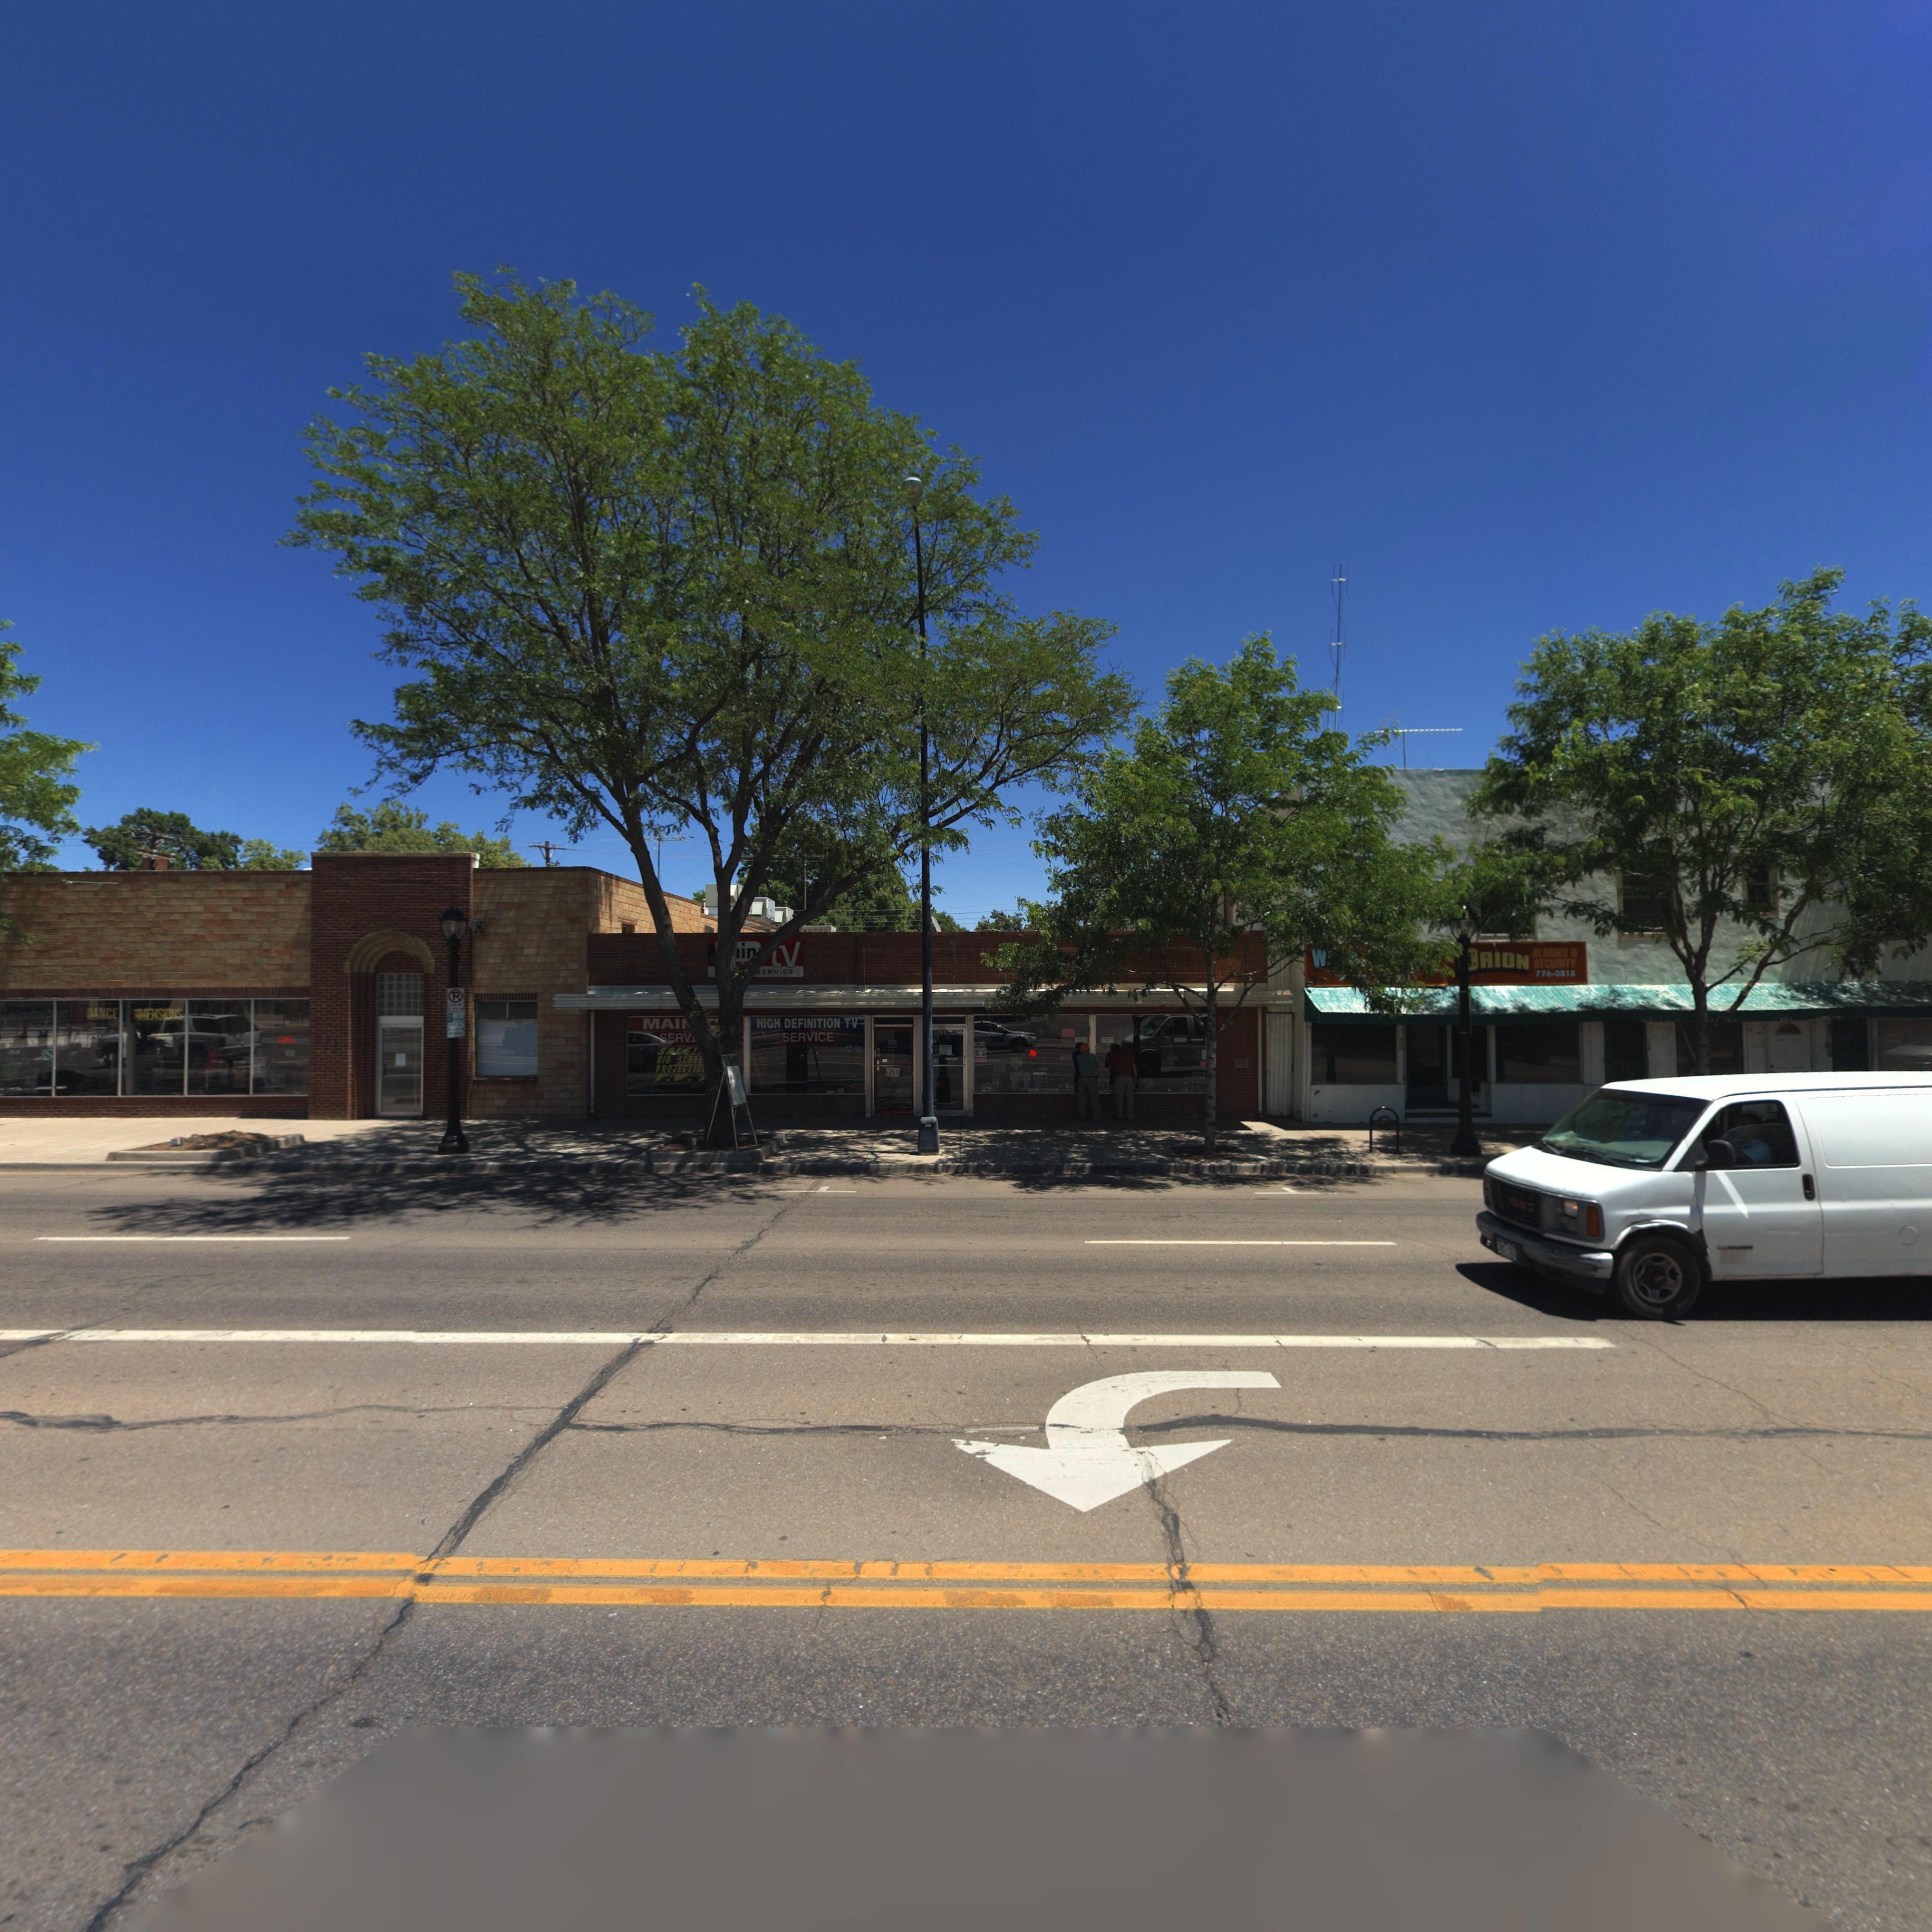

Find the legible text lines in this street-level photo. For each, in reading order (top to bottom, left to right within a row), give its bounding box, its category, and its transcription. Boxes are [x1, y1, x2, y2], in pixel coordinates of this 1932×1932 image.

[703, 941, 801, 968] BusinessName: Main tv
[1311, 948, 1358, 969] BusinessName: W****
[1480, 951, 1529, 970] BusinessName: RION
[1532, 947, 1577, 957] BusinessName: ALARMS &
[1534, 958, 1576, 968] BusinessName: SECURITY
[86, 1007, 118, 1020] BusinessName: DANCE
[131, 1008, 183, 1021] BusinessName: *IMENSIONS
[643, 1018, 680, 1029] BusinessName: MAI
[1399, 1037, 1402, 1050] StreetNumber: 6*0